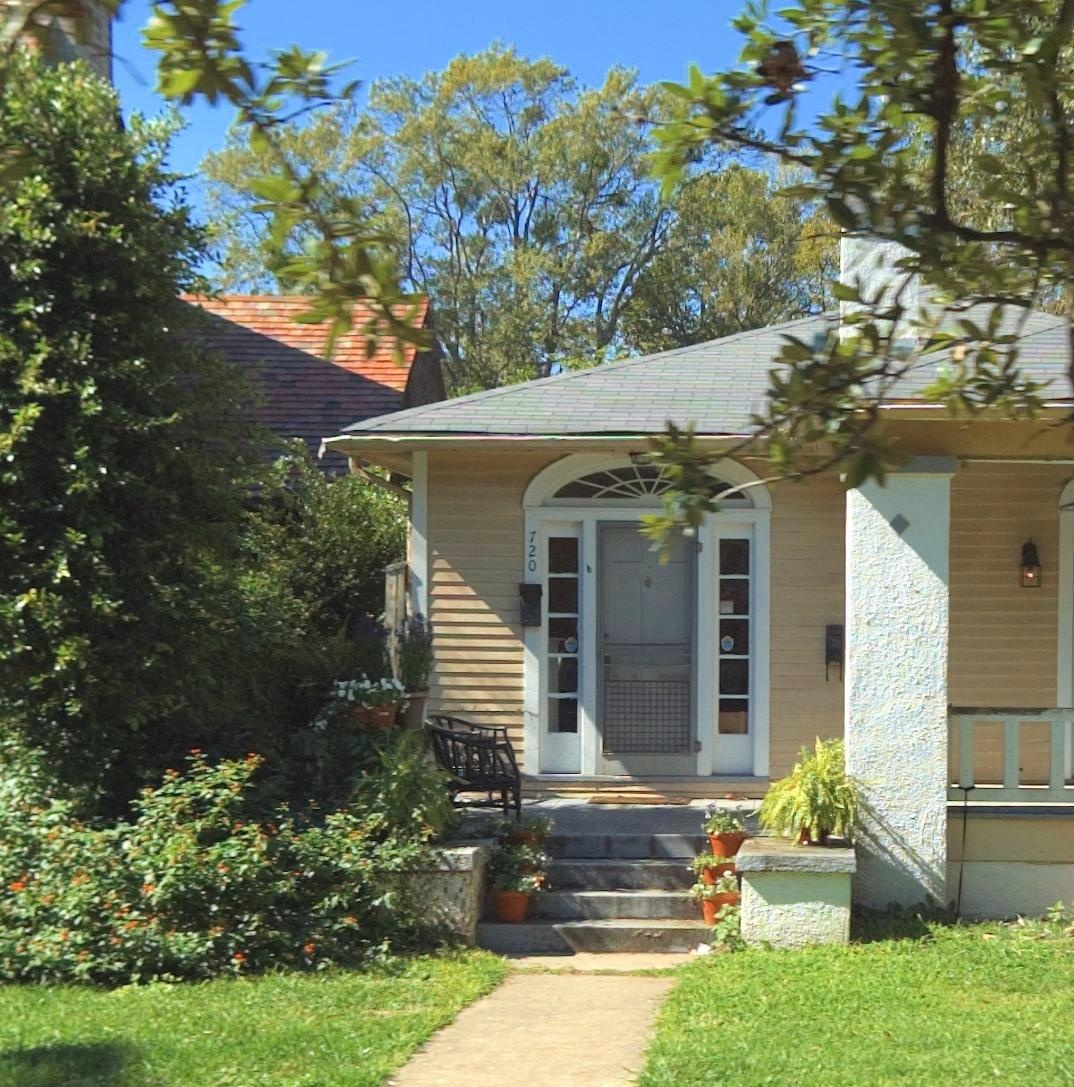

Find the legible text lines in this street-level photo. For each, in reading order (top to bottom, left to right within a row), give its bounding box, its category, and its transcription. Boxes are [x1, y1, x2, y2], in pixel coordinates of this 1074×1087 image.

[526, 529, 539, 574] StreetNumber: 720